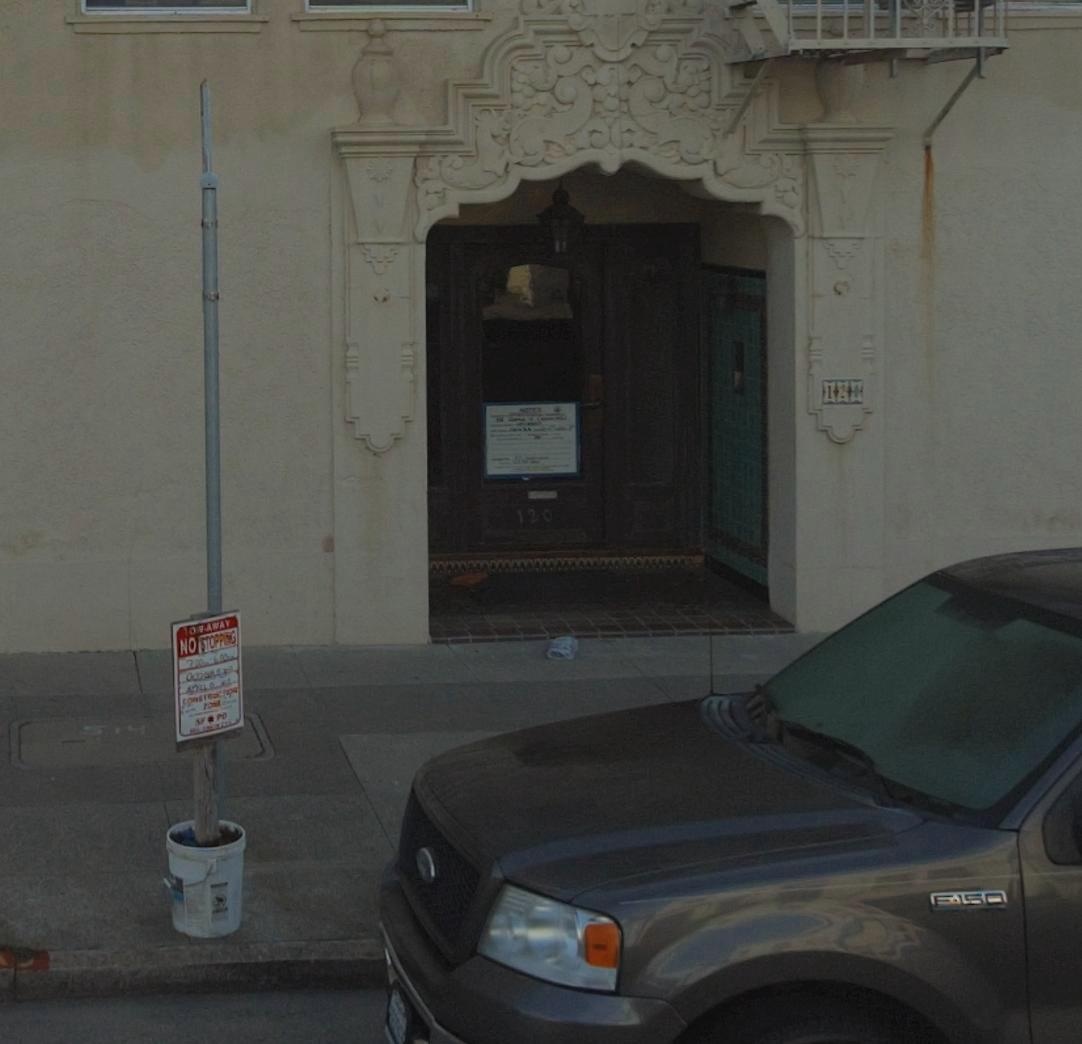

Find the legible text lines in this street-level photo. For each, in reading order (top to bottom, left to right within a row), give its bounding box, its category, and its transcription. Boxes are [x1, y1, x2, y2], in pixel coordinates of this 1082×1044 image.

[515, 506, 556, 528] StreetNumber: 120
[203, 617, 232, 632] None: AWAY
[177, 626, 240, 660] None: NO *TOPP**G
[930, 889, 1008, 910] None: F*150